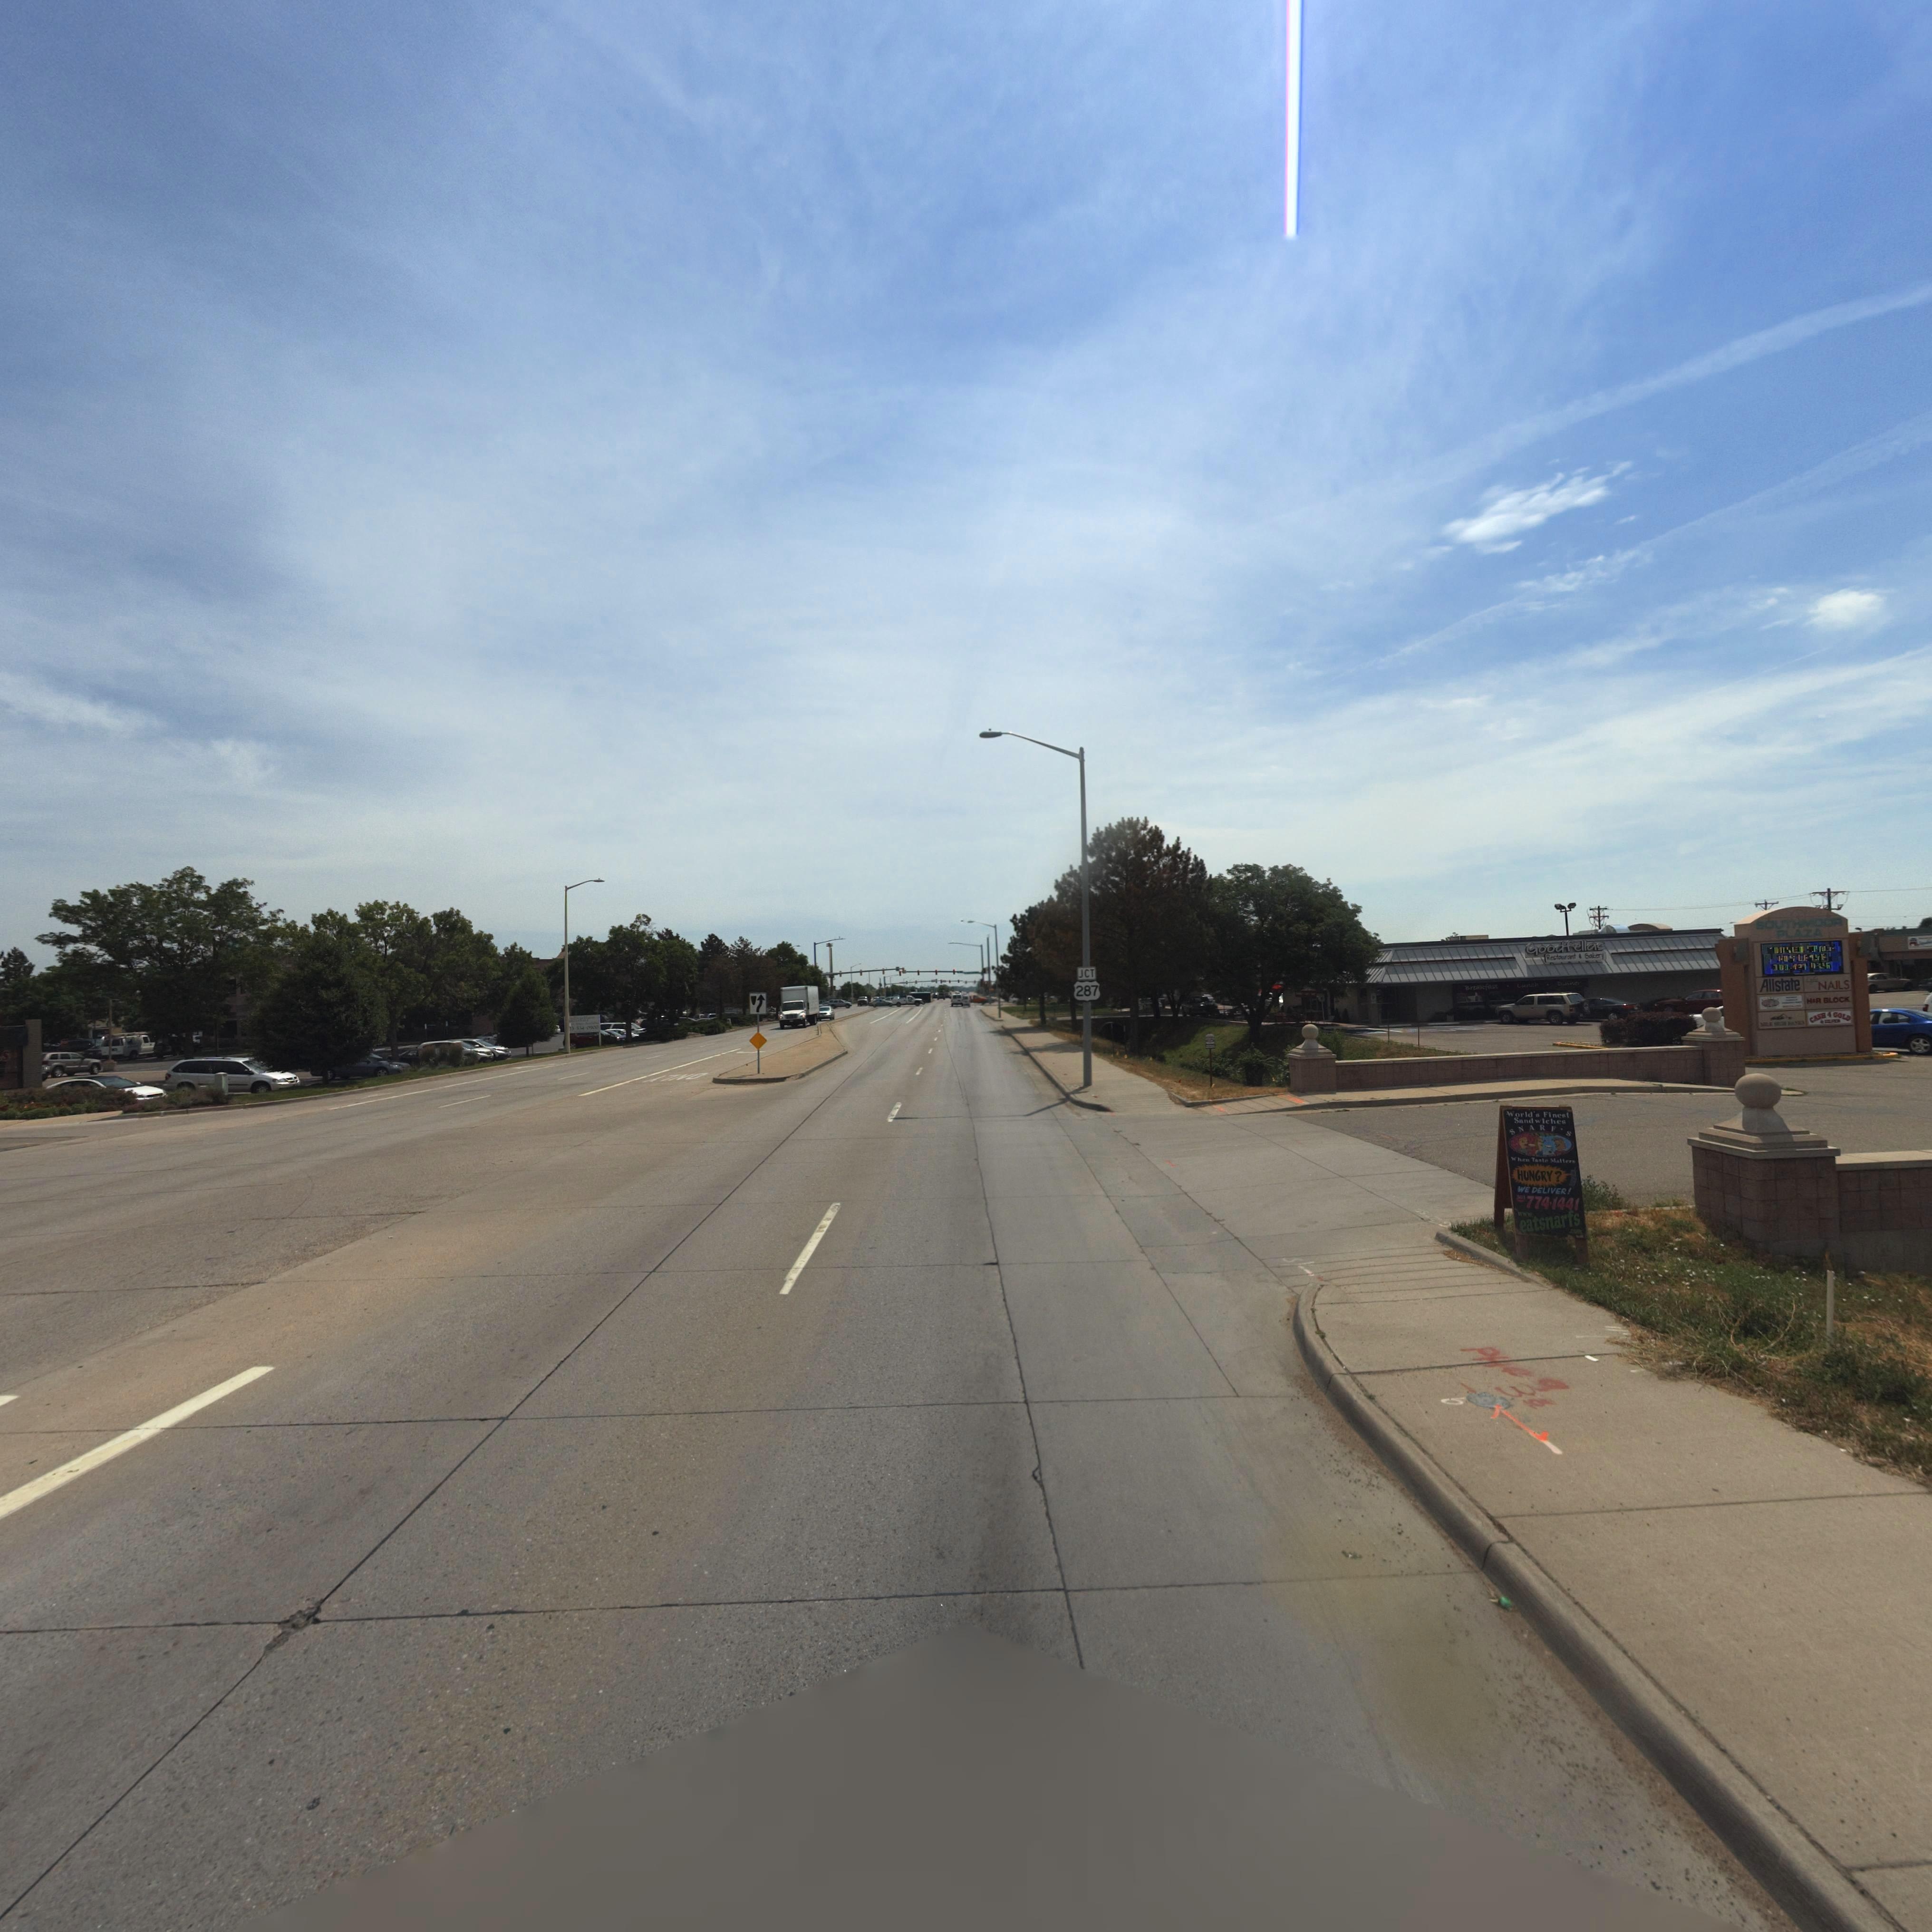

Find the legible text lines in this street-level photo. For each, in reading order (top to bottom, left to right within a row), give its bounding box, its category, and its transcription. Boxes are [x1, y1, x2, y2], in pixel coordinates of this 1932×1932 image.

[1525, 939, 1606, 956] BusinessName: Goodfellas
[1545, 952, 1605, 961] None: Restaurant * Bakery
[1758, 976, 1801, 992] BusinessName: Allstate
[1817, 979, 1851, 990] BusinessName: NAILS
[1806, 995, 1851, 1004] BusinessName: H*R BLOCK
[1507, 1123, 1573, 1138] BusinessName: SNARF'S